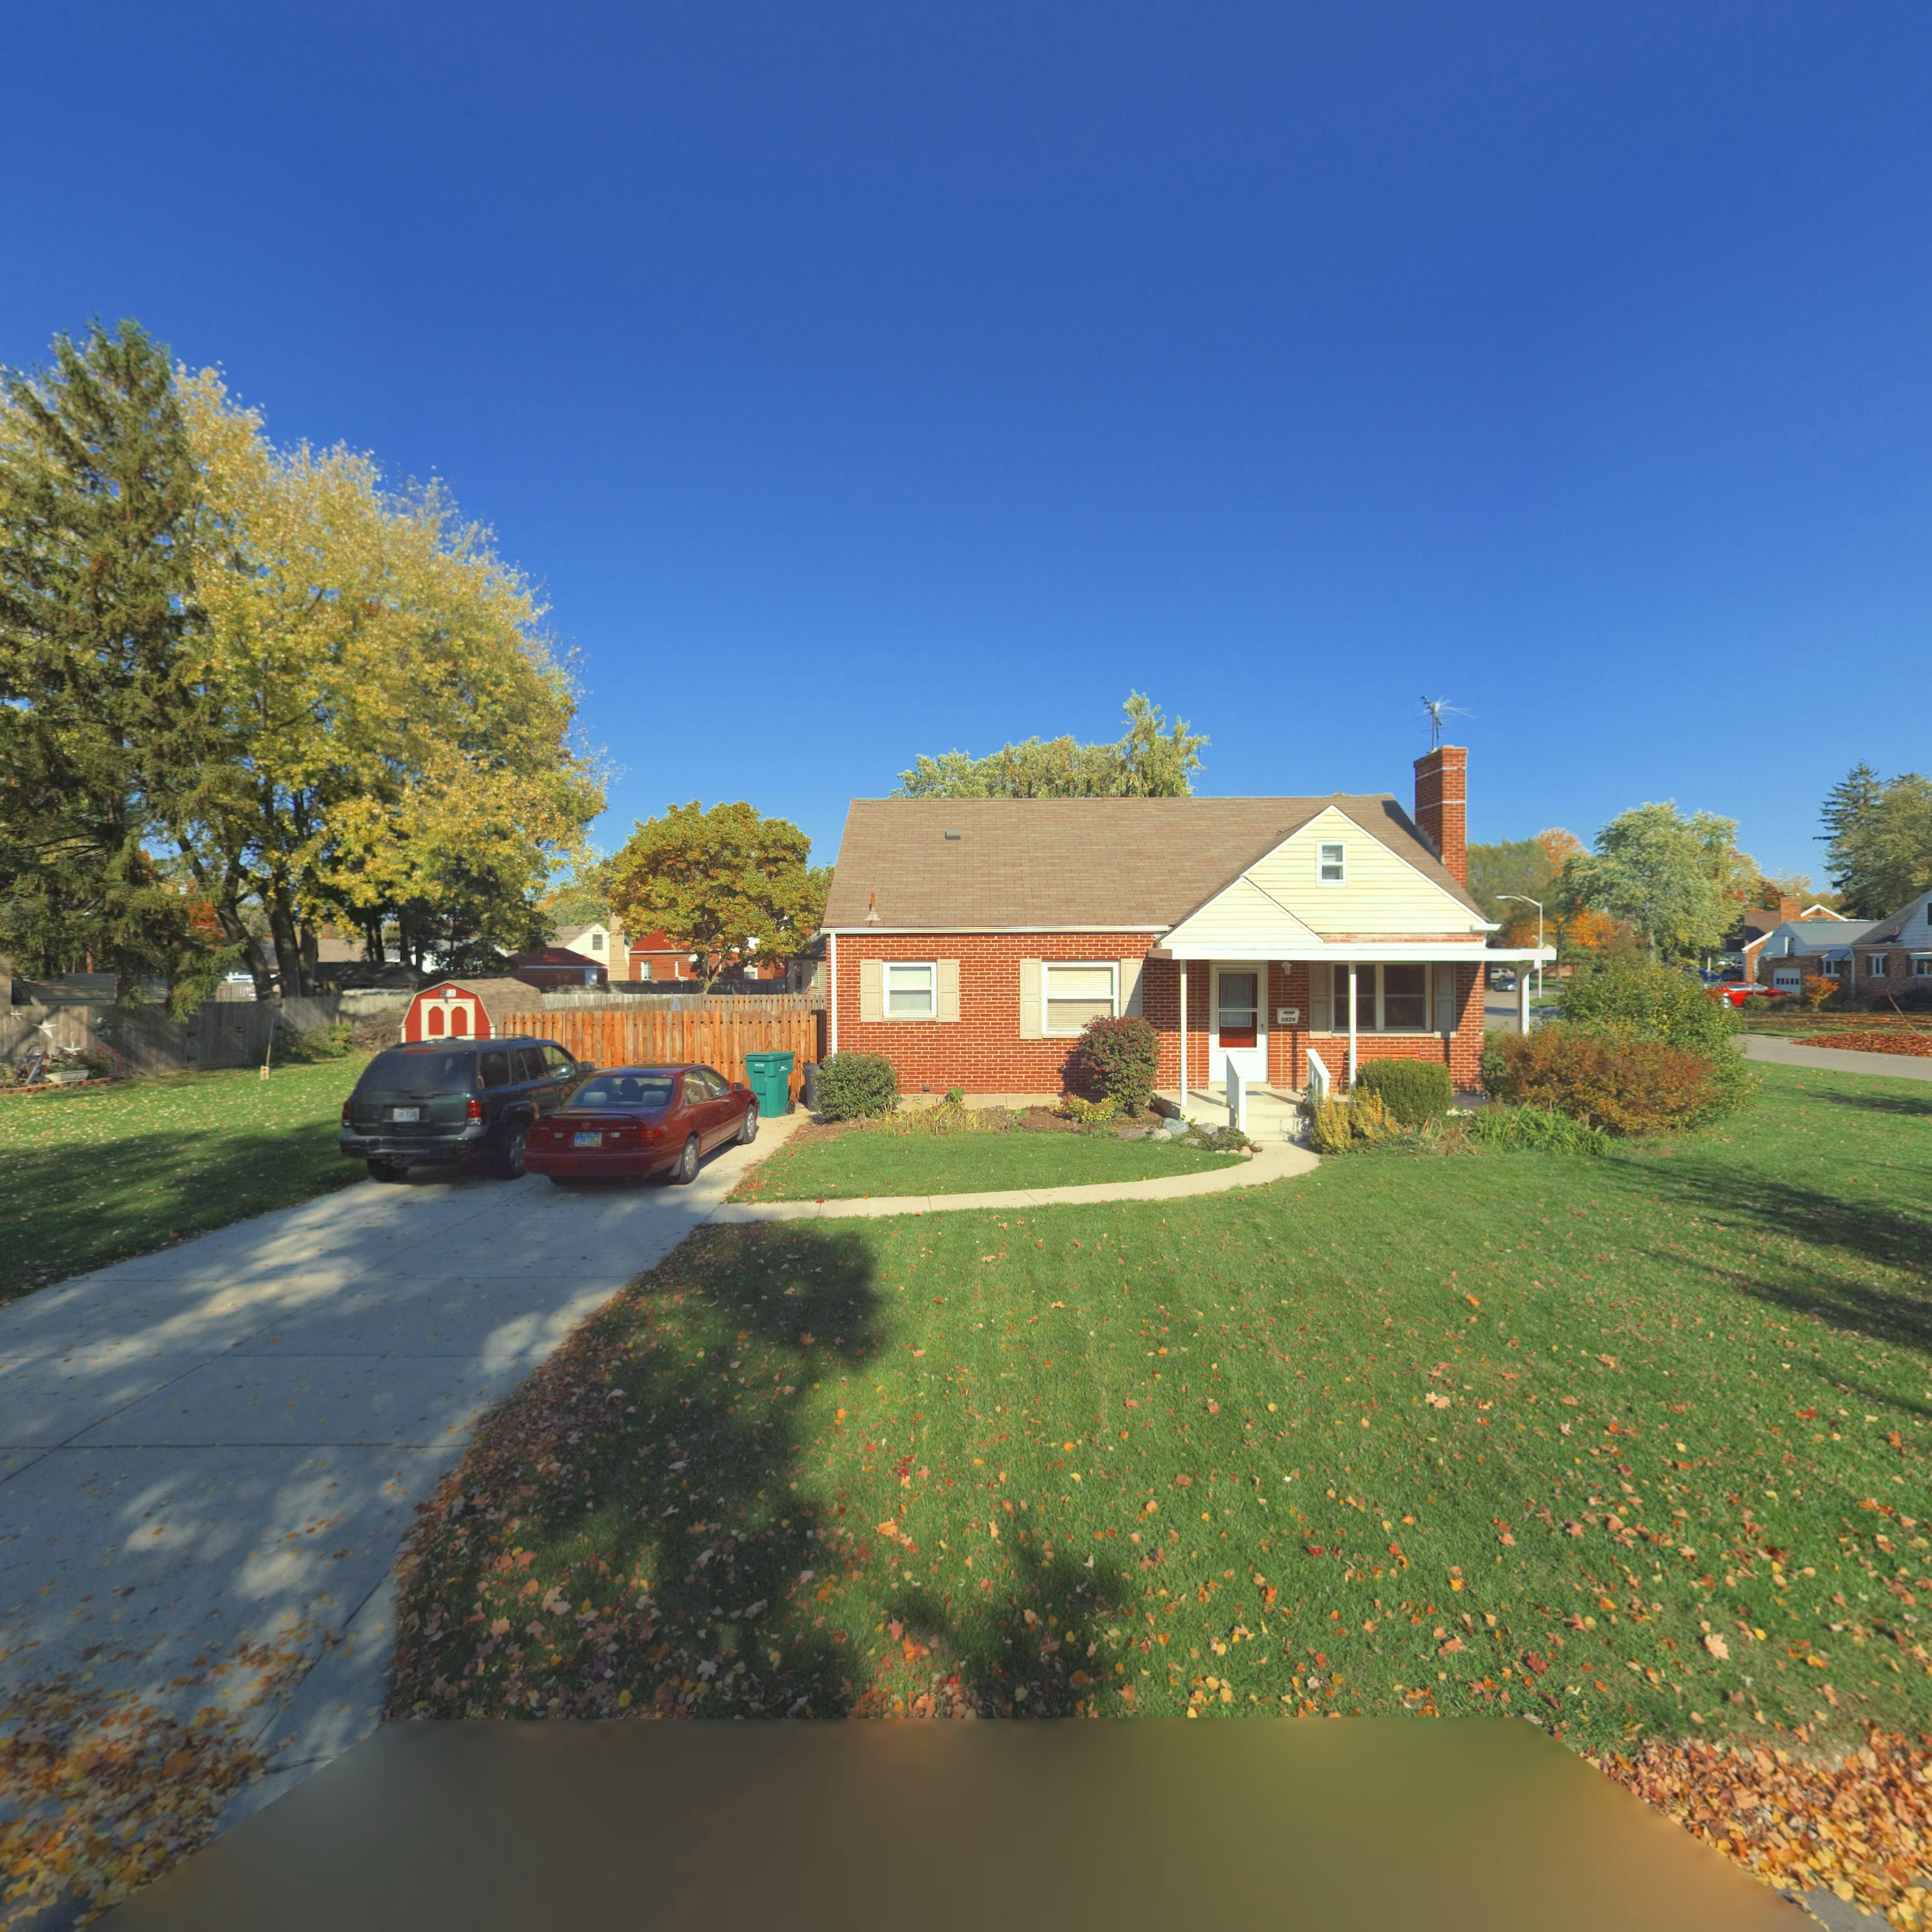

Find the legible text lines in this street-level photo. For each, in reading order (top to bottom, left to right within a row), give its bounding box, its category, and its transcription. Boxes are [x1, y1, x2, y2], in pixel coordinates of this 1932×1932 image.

[1281, 1017, 1296, 1023] StreetNumber: *824